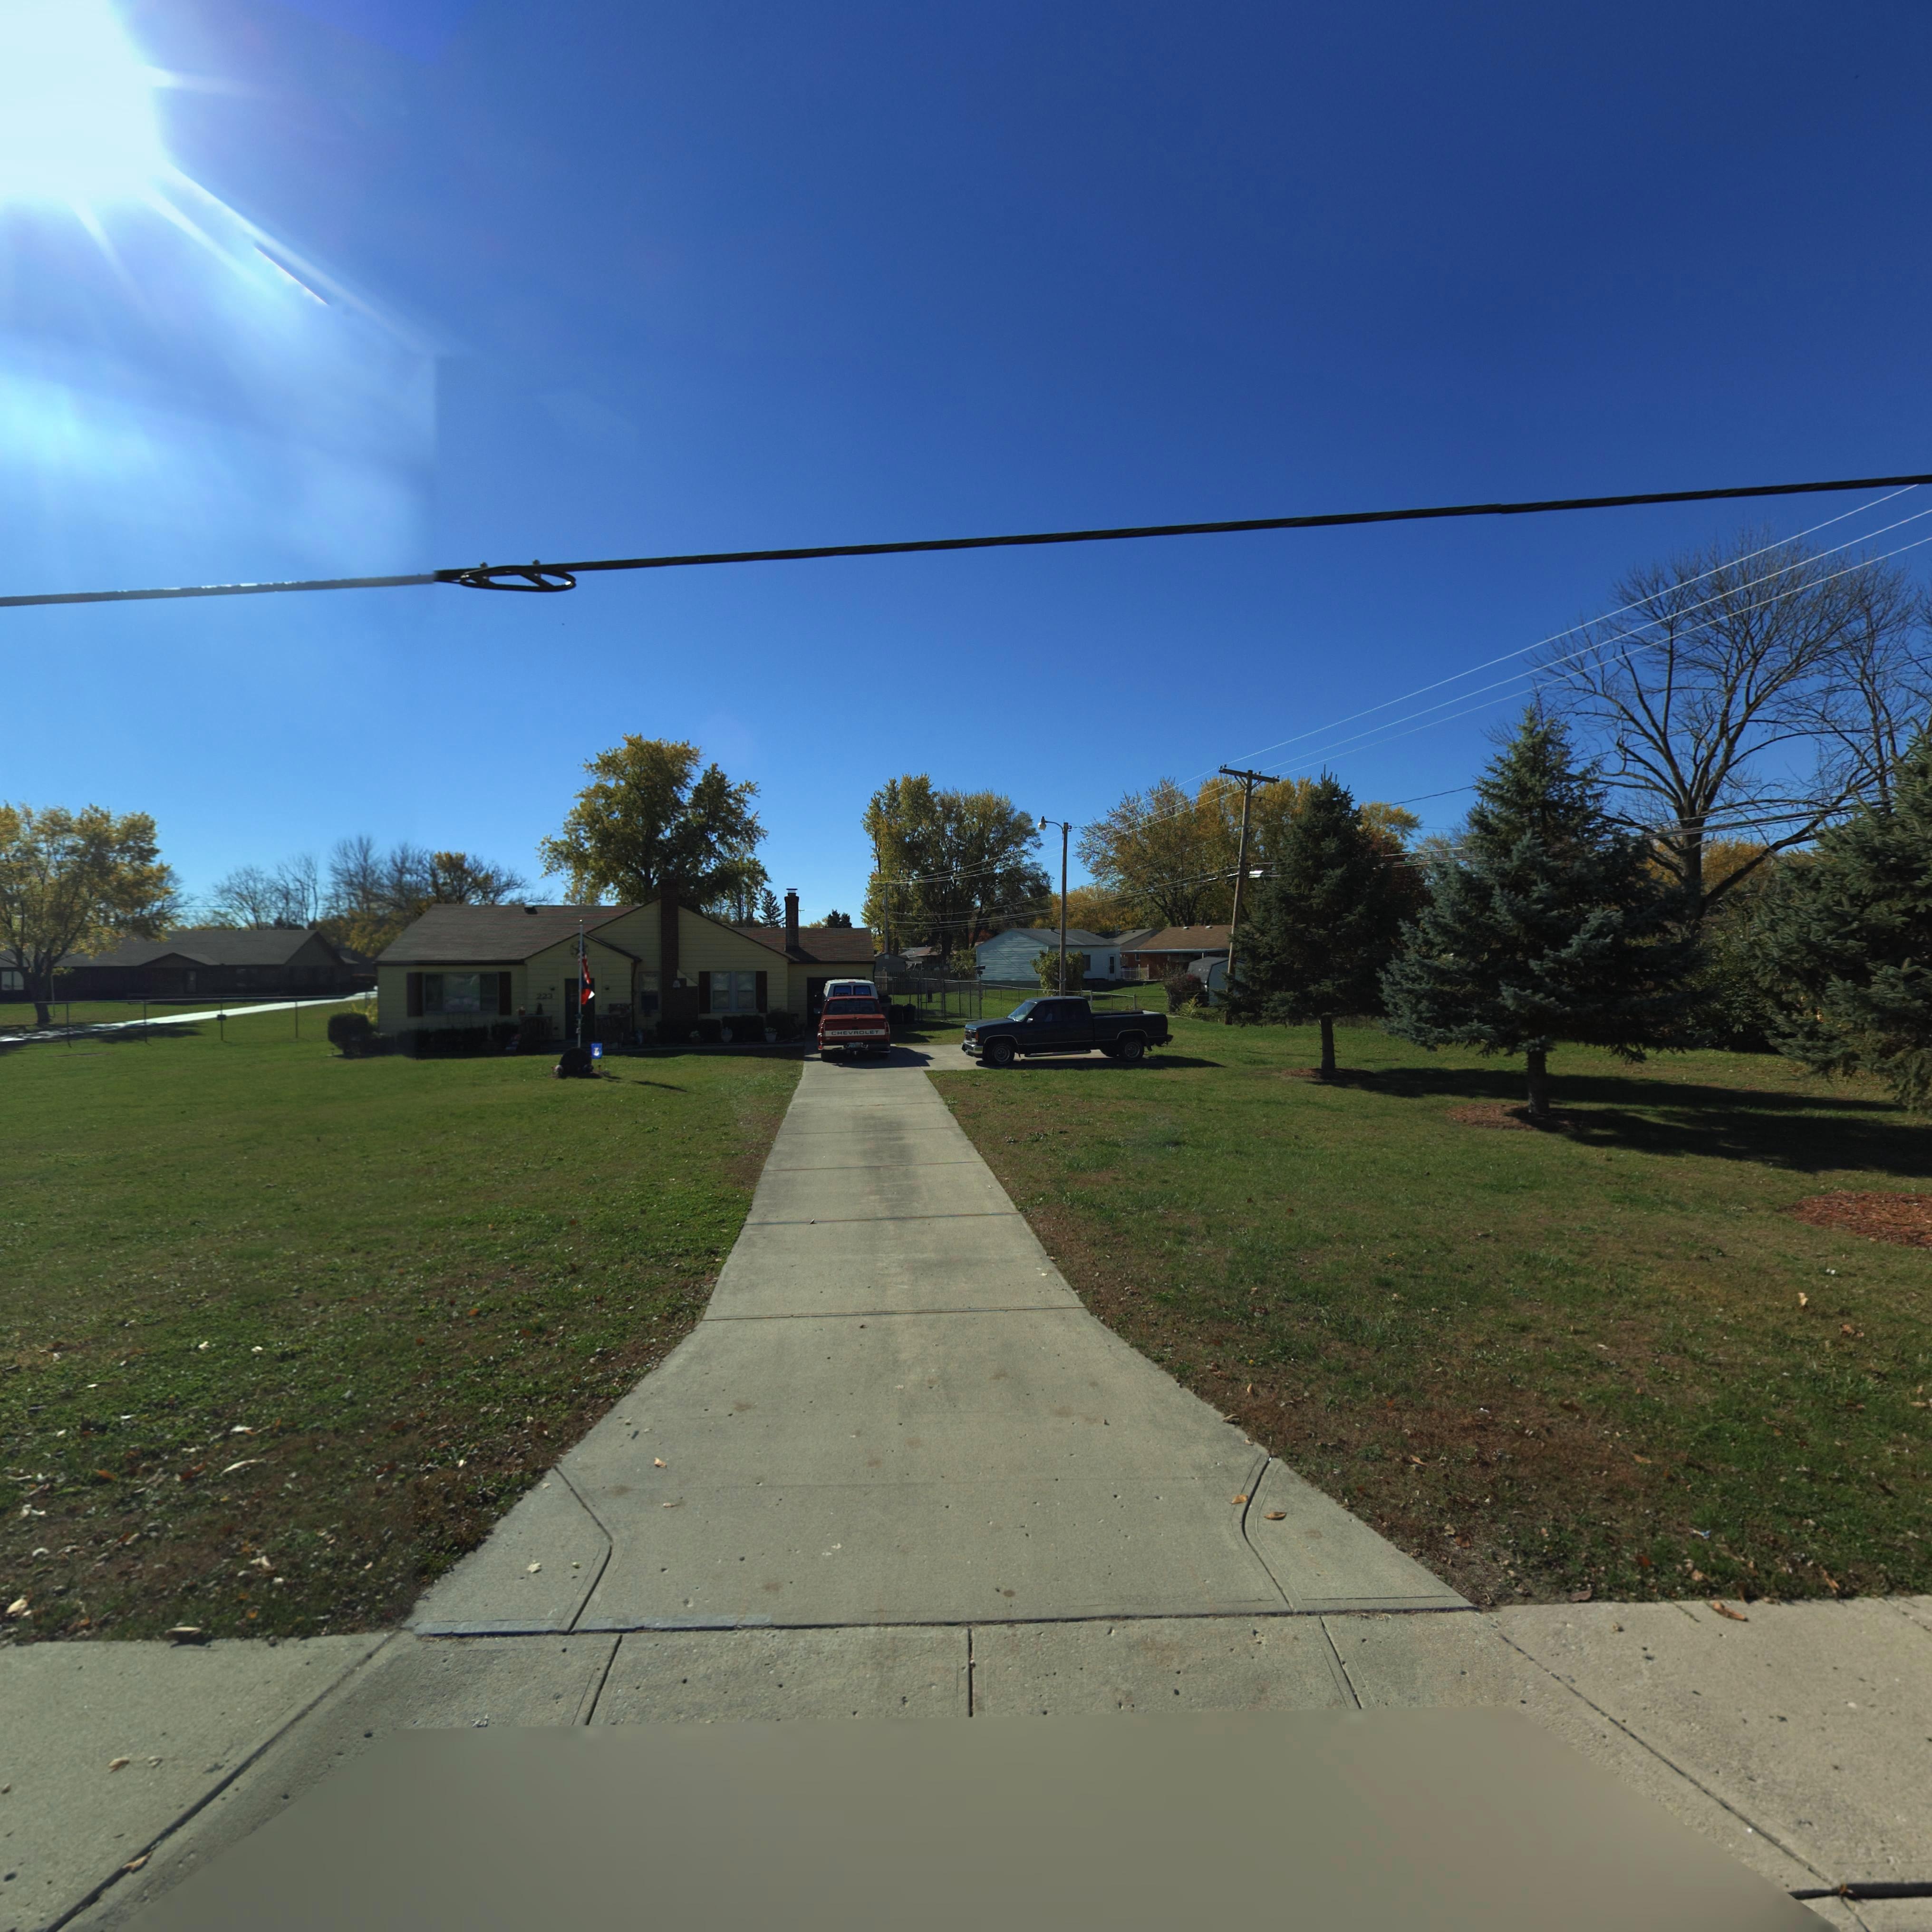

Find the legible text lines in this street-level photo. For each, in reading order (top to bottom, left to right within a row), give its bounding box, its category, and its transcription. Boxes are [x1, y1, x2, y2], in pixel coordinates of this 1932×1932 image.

[535, 993, 553, 1000] StreetNumber: 223
[831, 1030, 879, 1036] None: CHEVROLET